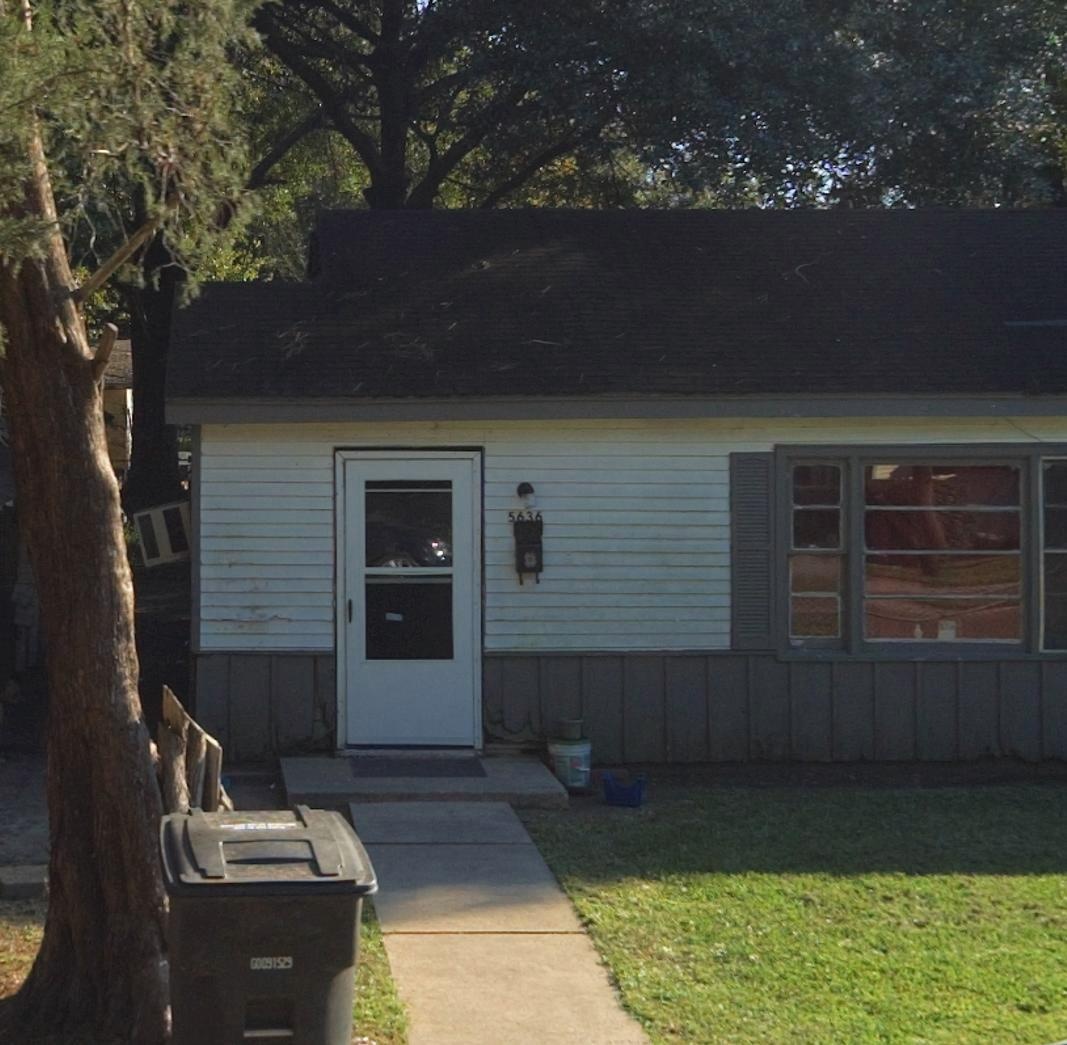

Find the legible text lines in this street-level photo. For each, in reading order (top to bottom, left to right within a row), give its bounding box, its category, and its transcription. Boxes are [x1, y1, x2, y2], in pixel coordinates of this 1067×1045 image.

[508, 510, 543, 522] StreetNumber: 5636
[249, 956, 293, 970] None: G0091529